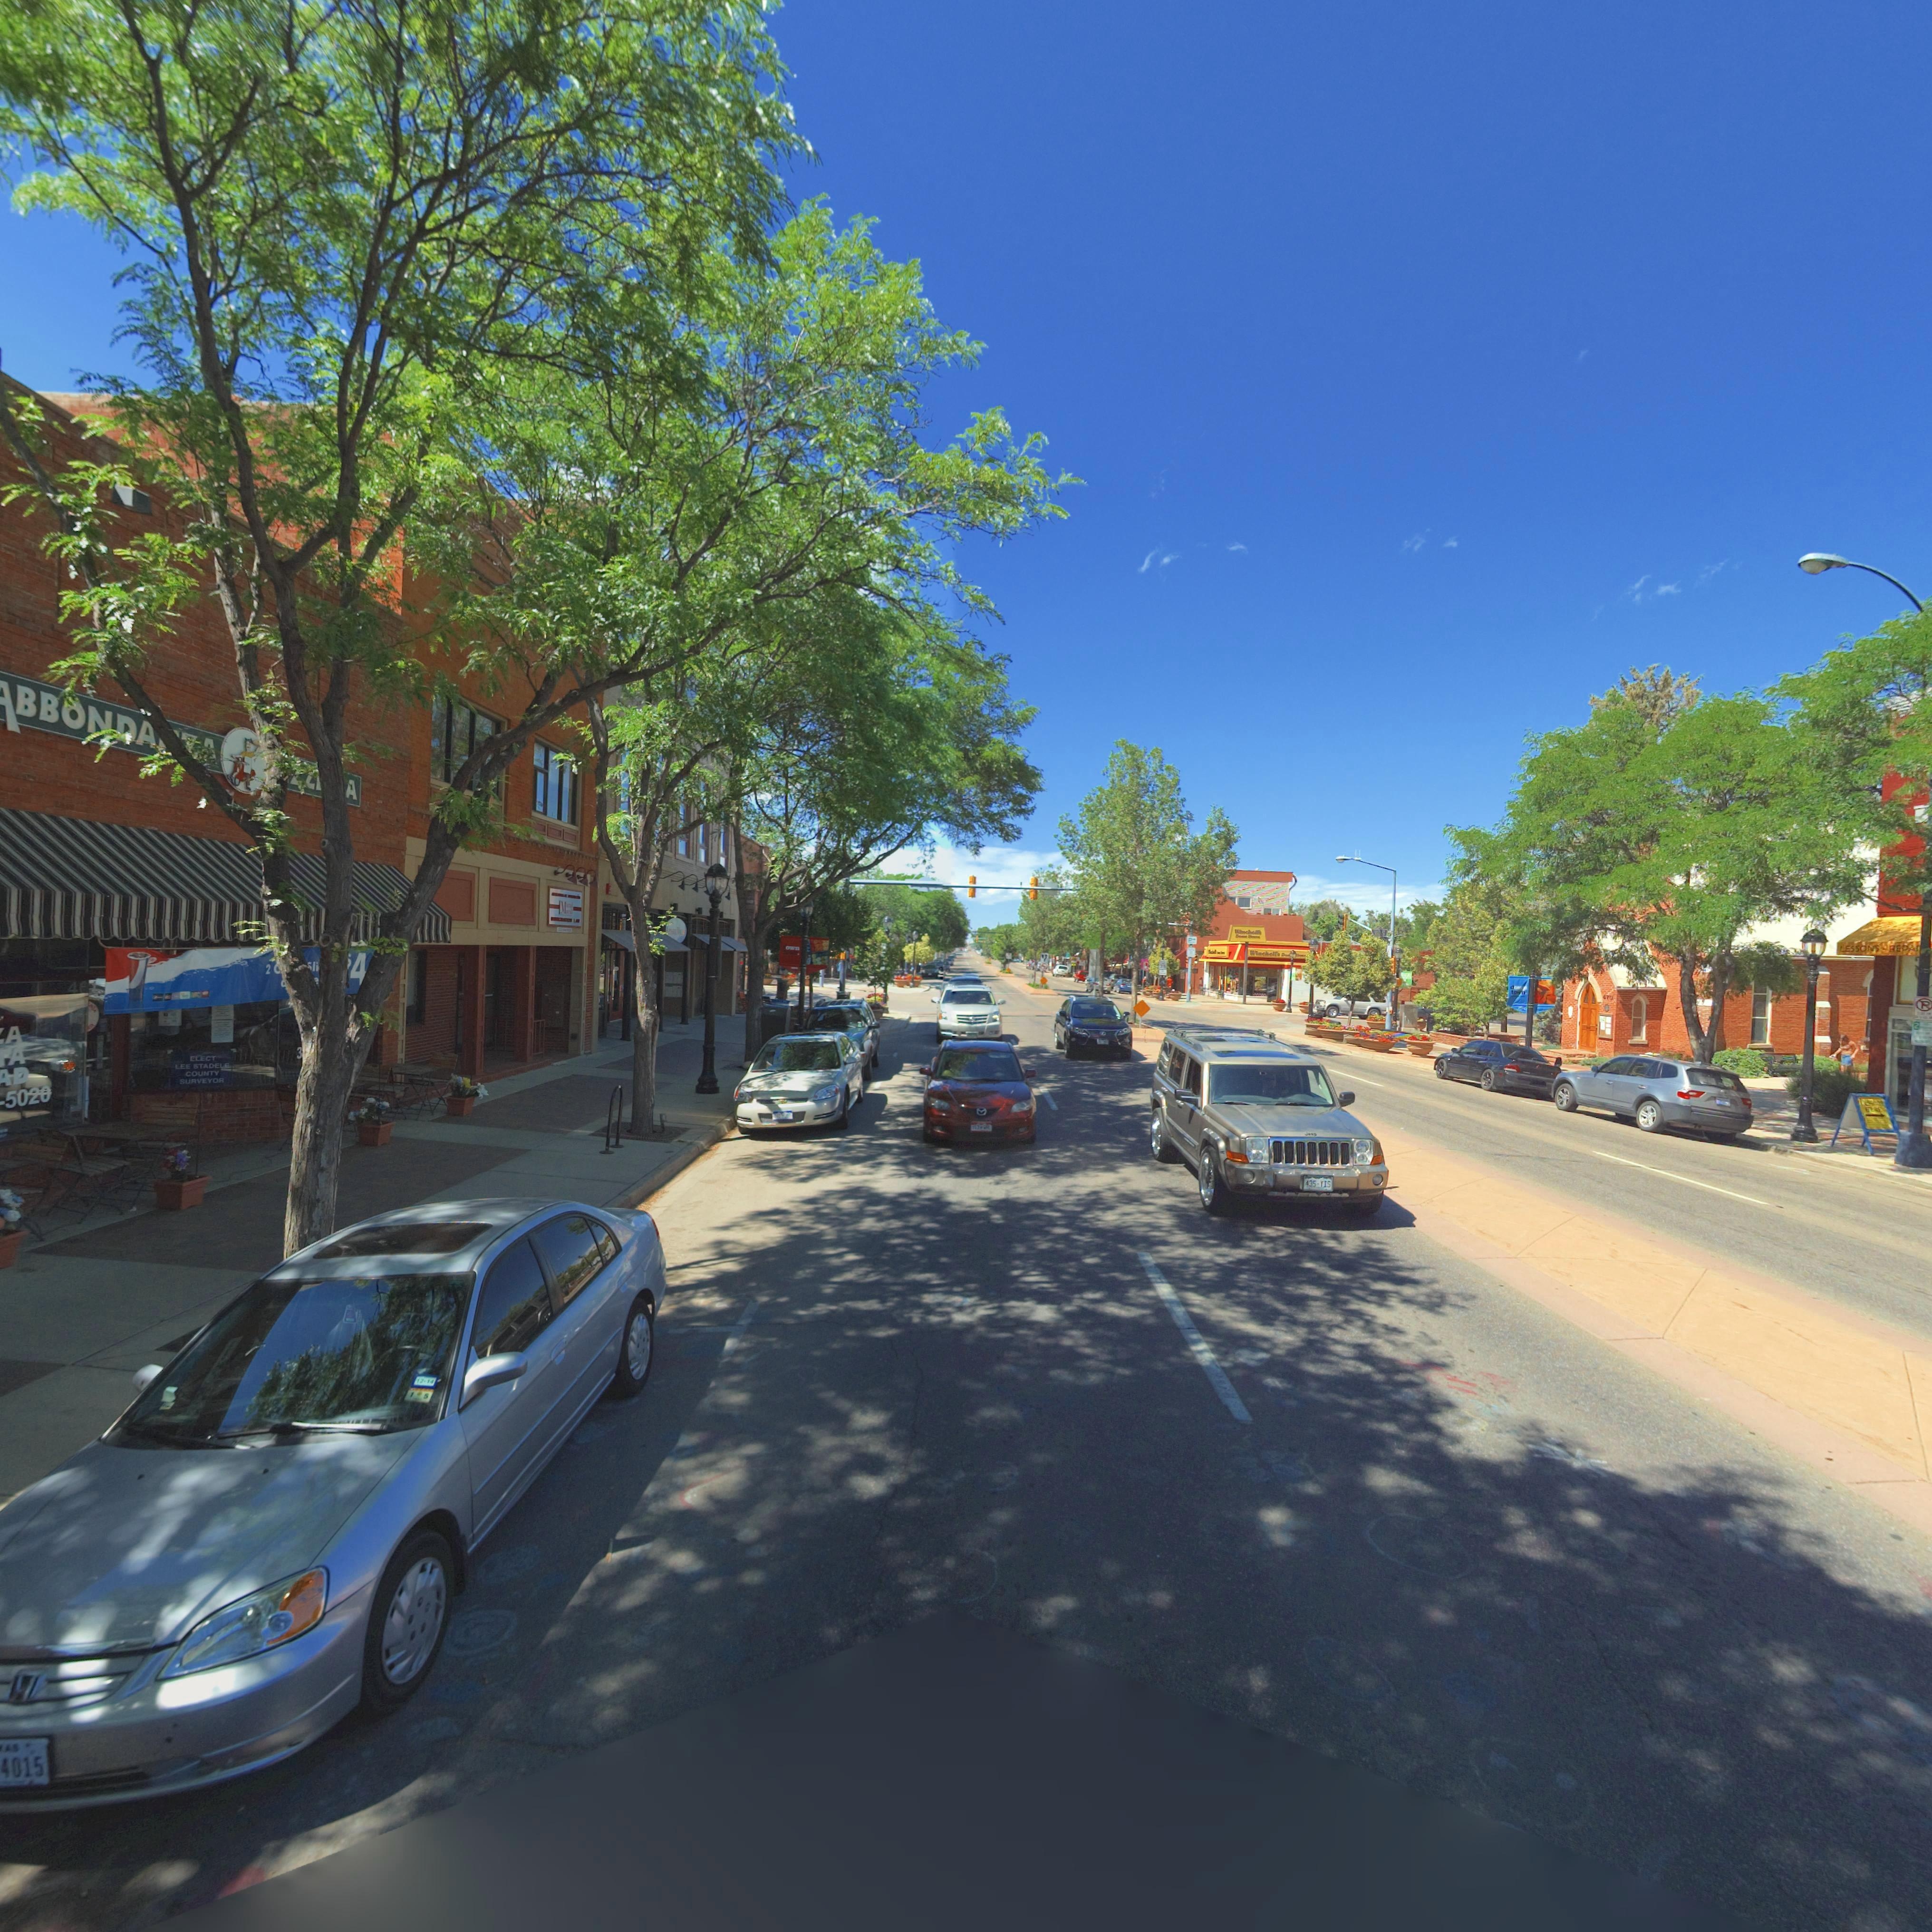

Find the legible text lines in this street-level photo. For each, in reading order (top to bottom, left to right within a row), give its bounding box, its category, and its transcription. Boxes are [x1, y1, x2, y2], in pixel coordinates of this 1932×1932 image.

[14, 684, 218, 765] BusinessName: BBONDA***
[344, 778, 358, 801] BusinessName: A
[560, 900, 567, 914] BusinessName: M
[1234, 928, 1261, 934] BusinessName: W**che***
[1249, 950, 1289, 956] BusinessName: Winchell* D**
[67, 980, 96, 995] StreetNumber: 4*1
[1603, 995, 1613, 1000] StreetNumber: *7*